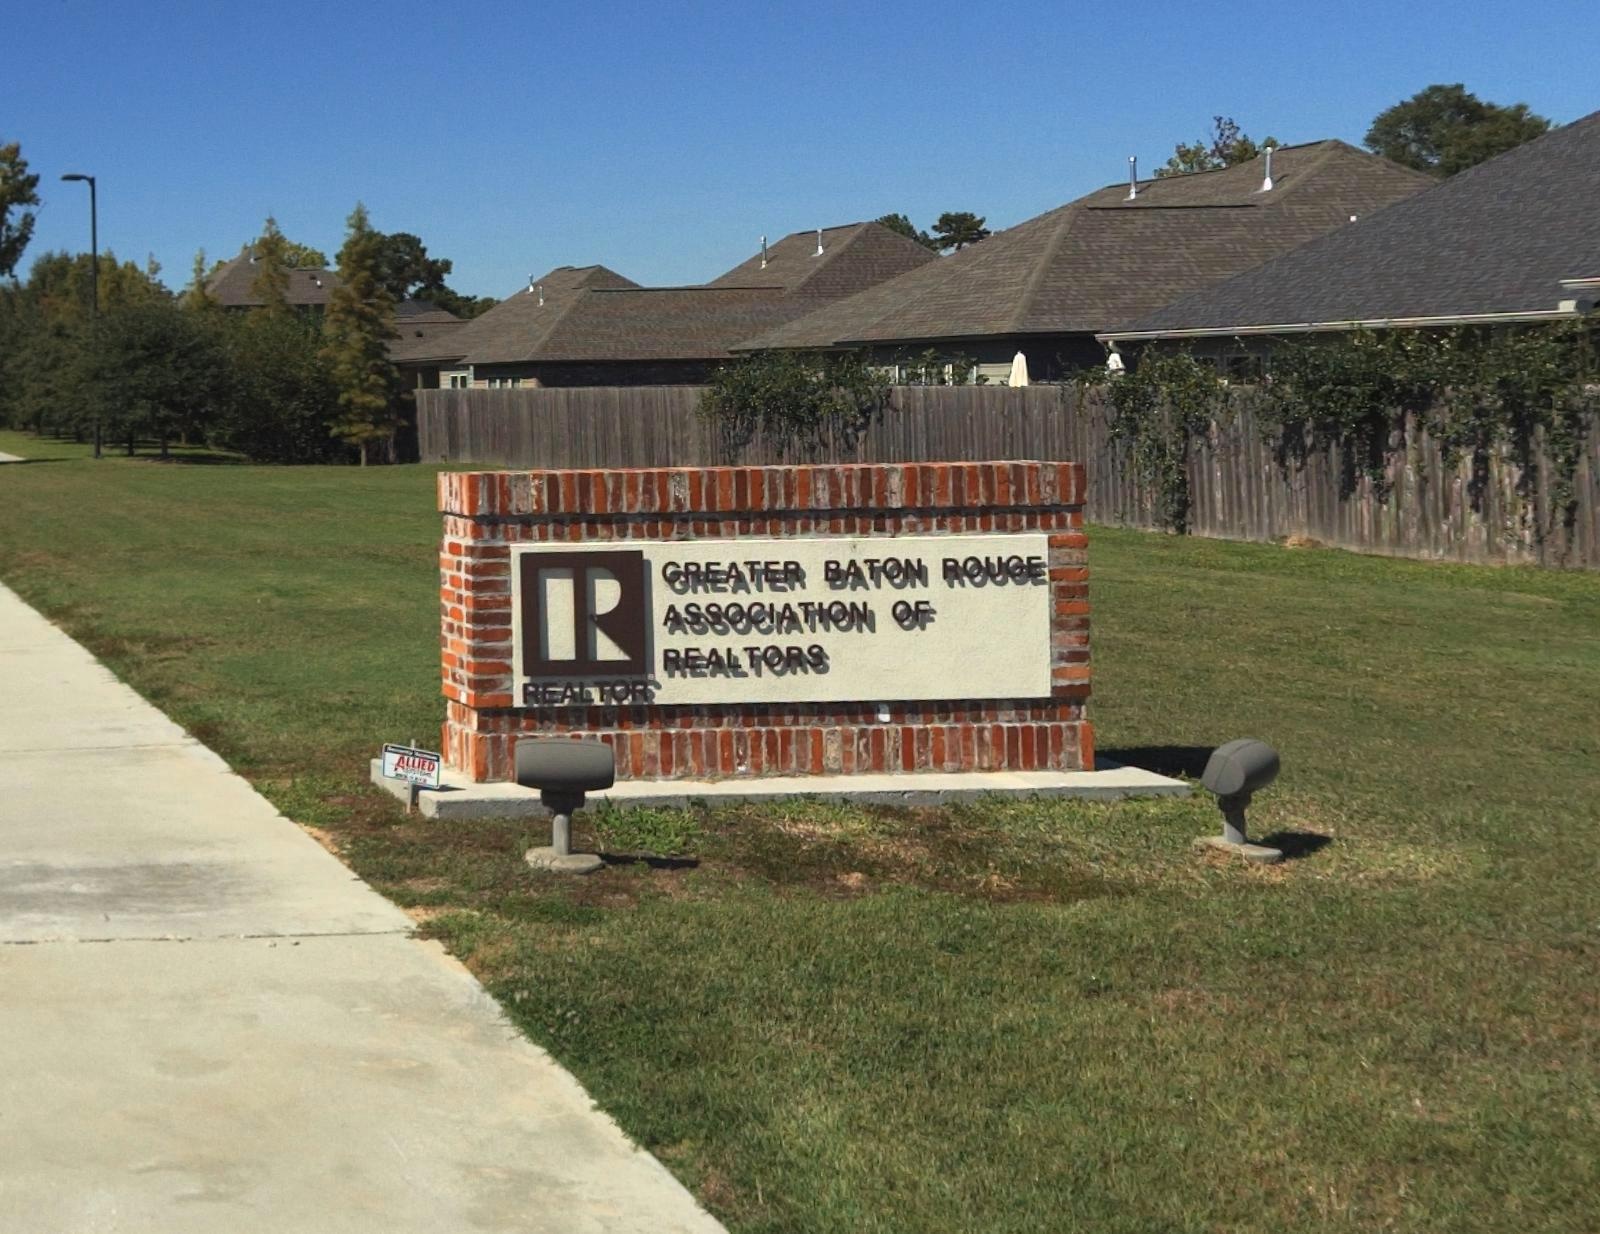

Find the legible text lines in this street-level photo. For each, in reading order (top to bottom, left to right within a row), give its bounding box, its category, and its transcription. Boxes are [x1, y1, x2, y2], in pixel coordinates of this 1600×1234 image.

[661, 554, 1047, 585] BusinessName: GREATER BATON ROUGE
[535, 564, 634, 663] None: R
[662, 601, 930, 628] BusinessName: ASSOCIATION OF
[661, 643, 826, 673] BusinessName: REALTORS
[522, 678, 651, 706] None: REALTOR
[391, 752, 438, 774] None: ALLIED